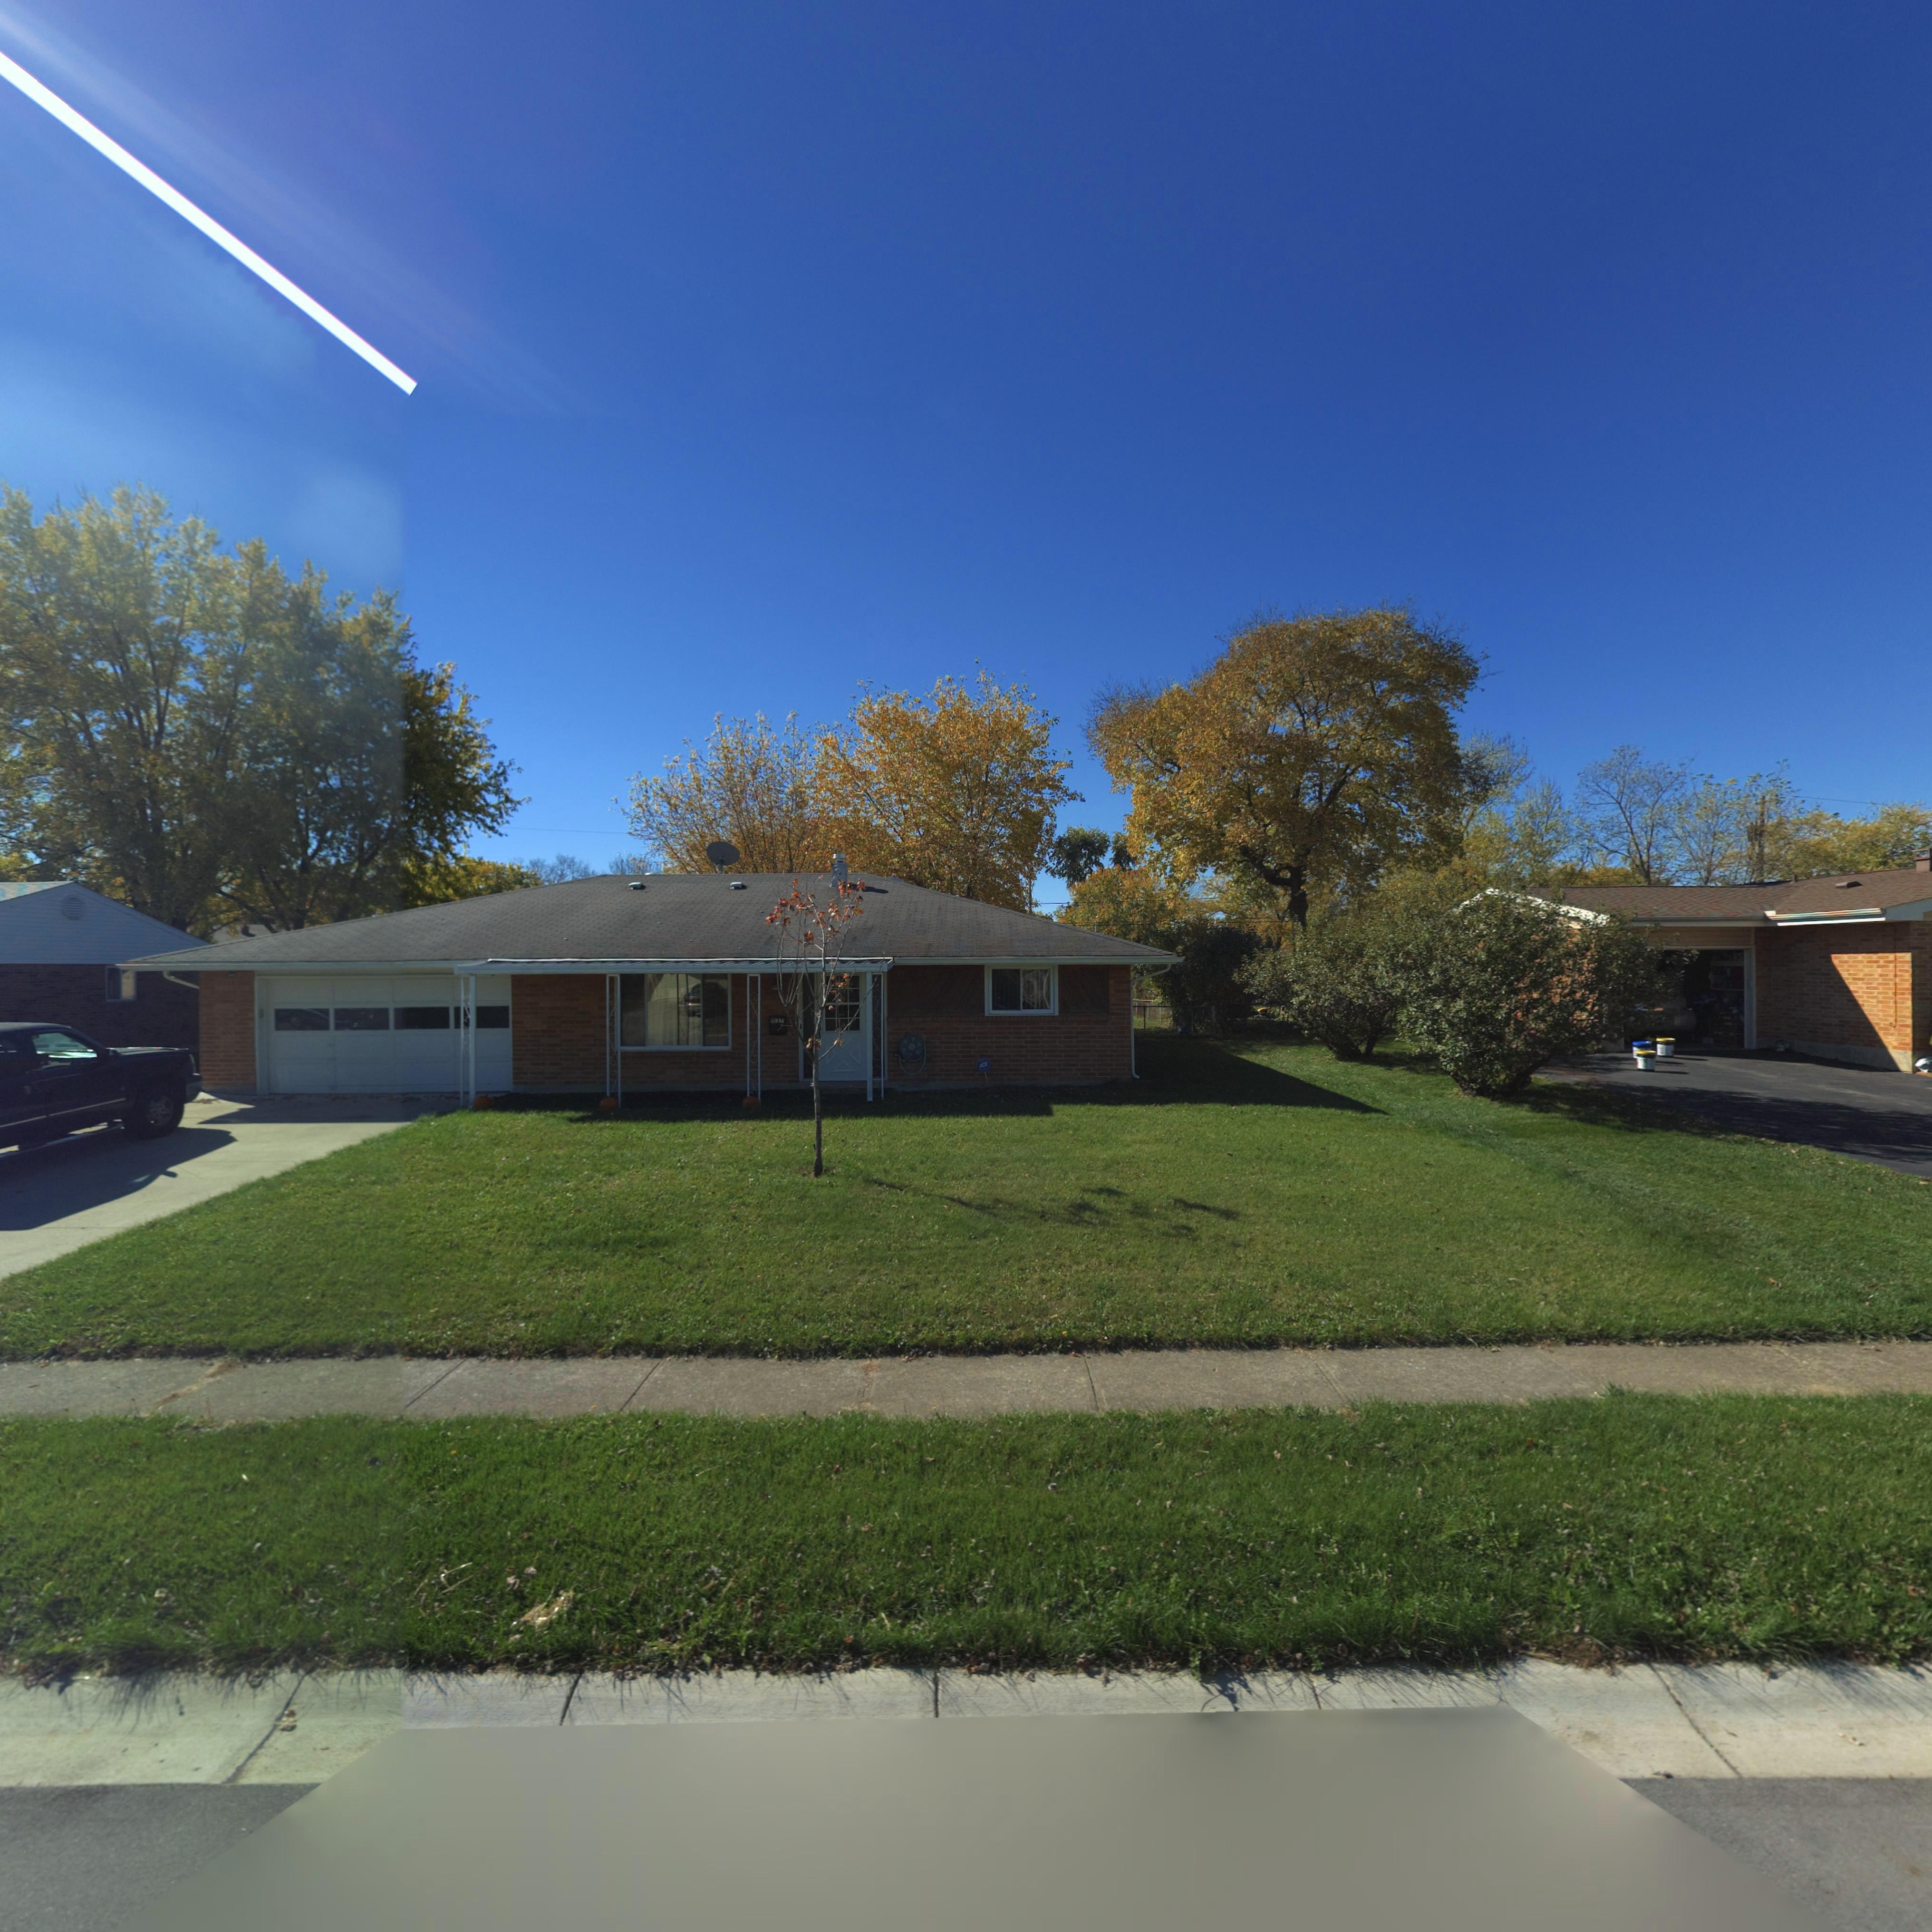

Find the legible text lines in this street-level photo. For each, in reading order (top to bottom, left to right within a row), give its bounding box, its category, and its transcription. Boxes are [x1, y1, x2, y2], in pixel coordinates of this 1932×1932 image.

[771, 1017, 783, 1024] StreetNumber: *027